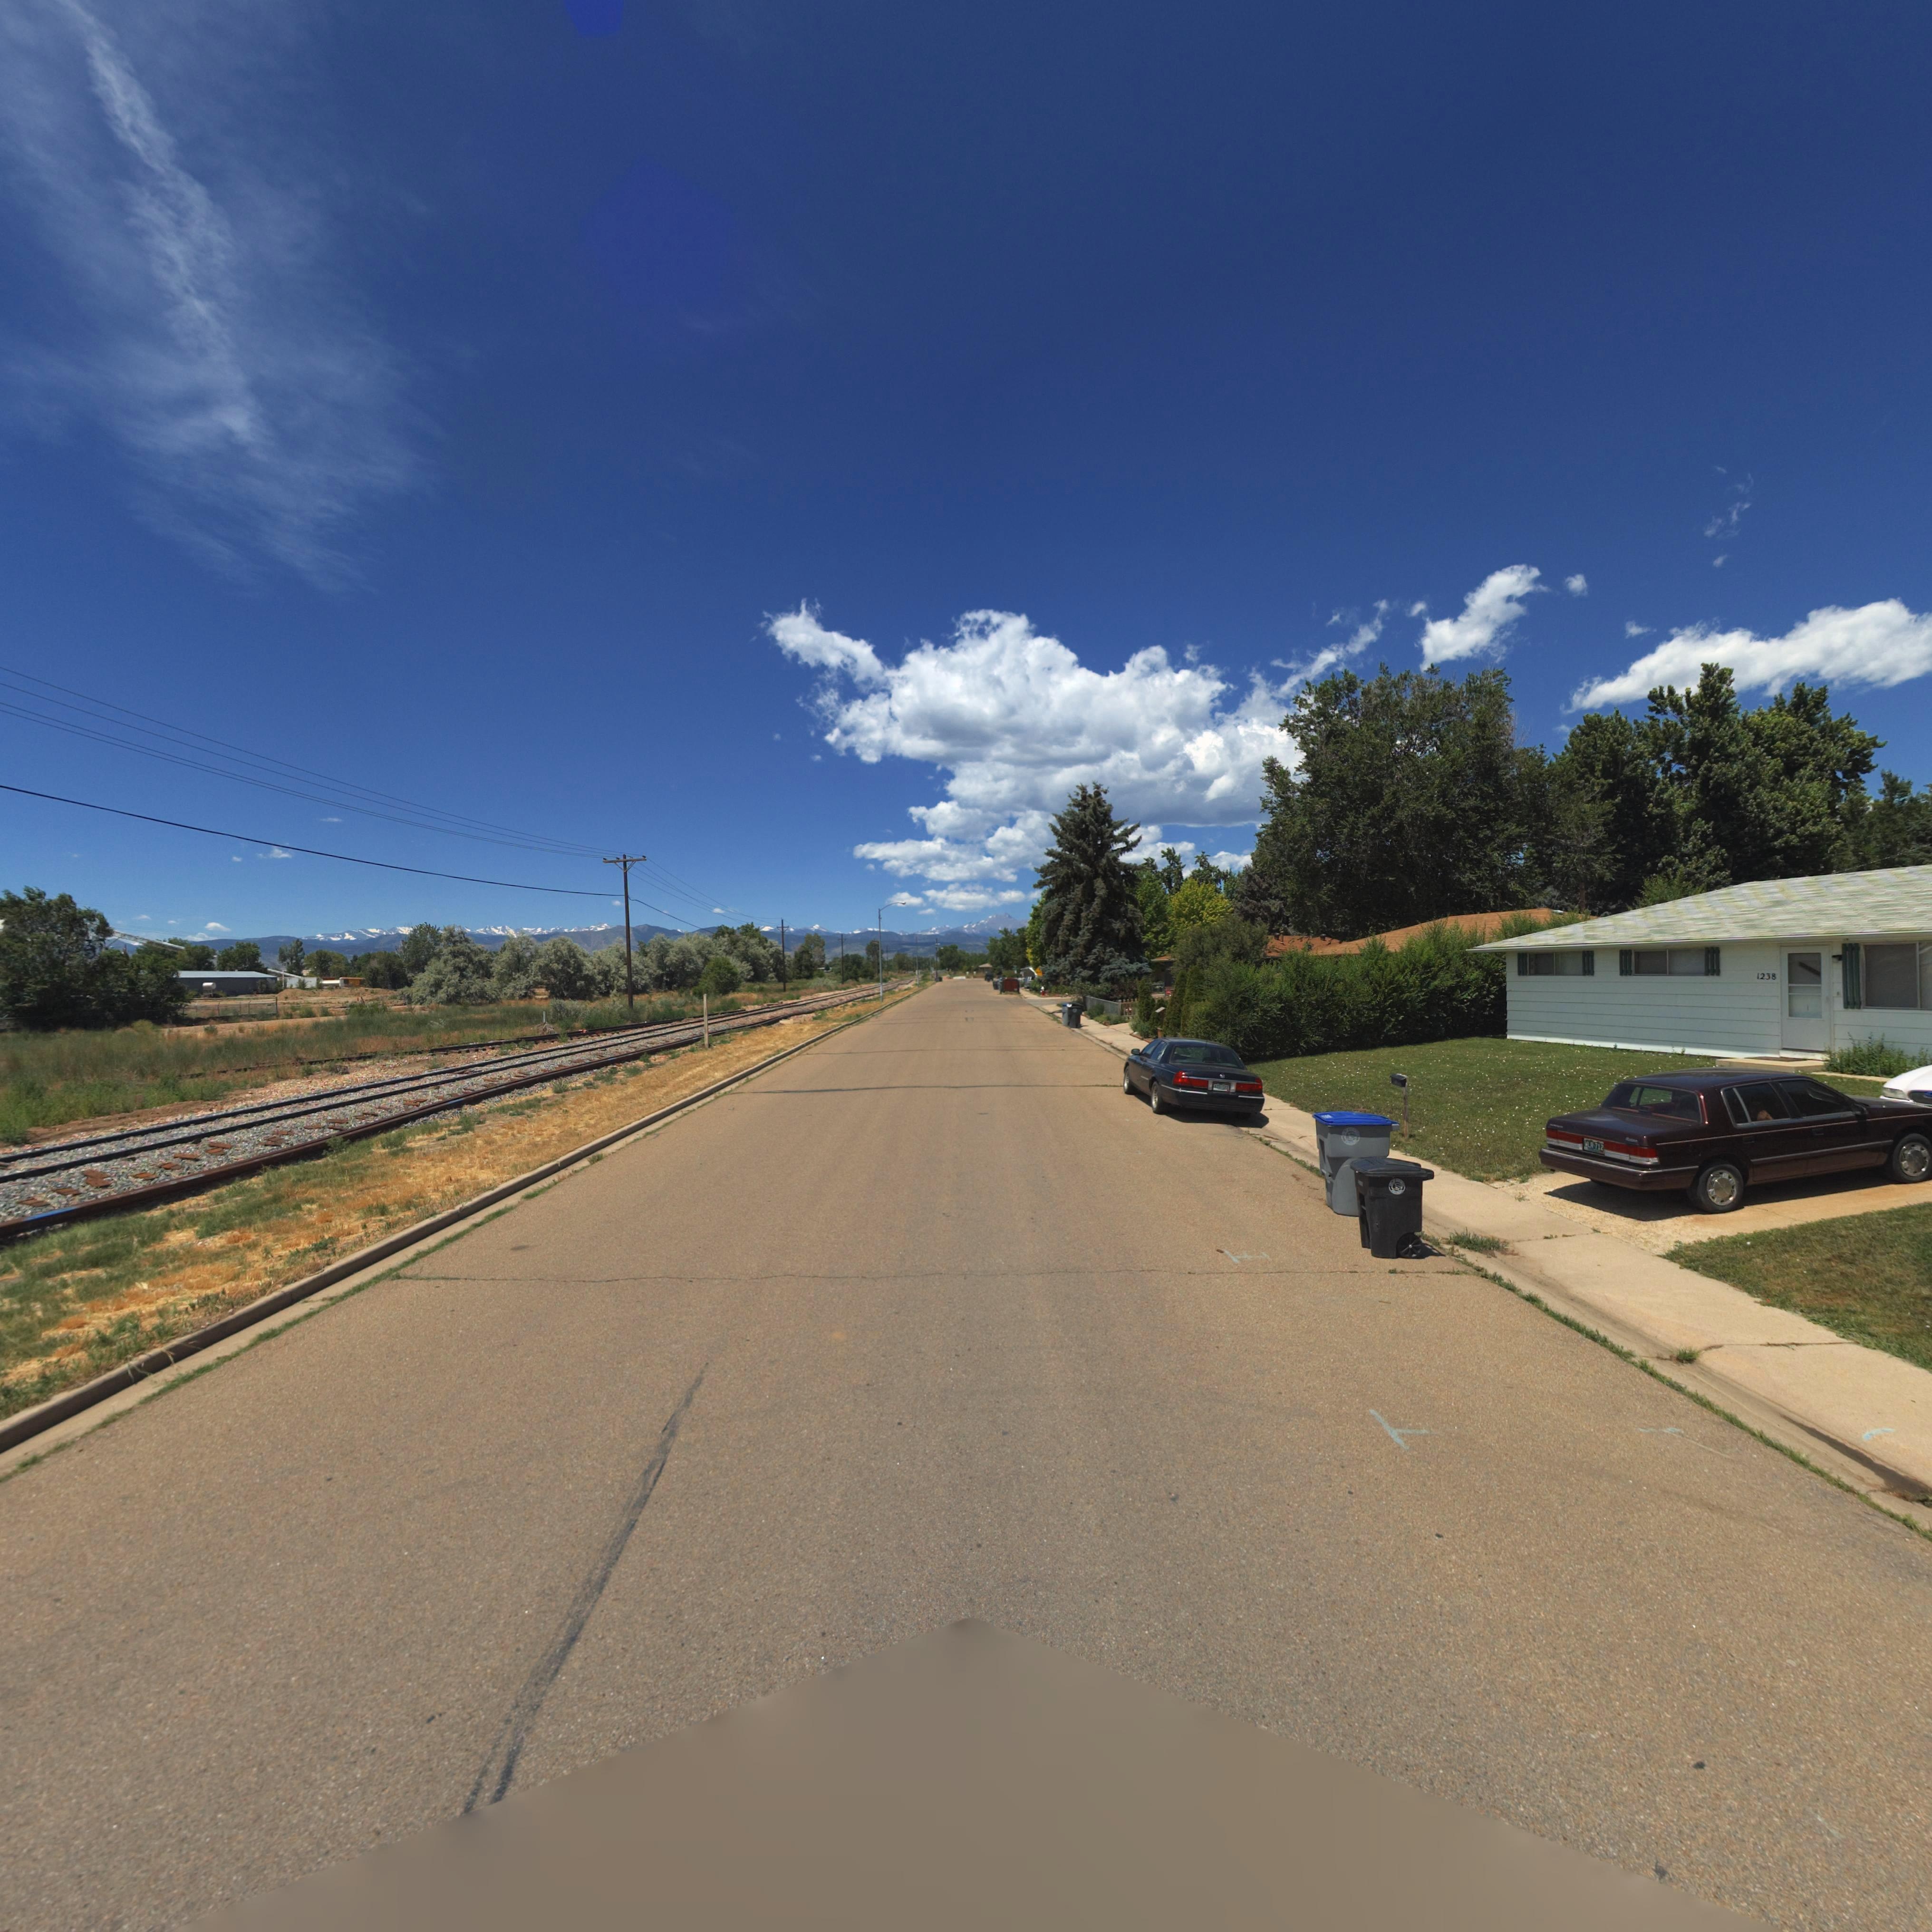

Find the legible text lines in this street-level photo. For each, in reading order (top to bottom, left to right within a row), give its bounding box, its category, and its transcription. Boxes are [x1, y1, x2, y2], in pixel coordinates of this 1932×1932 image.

[1756, 972, 1777, 980] StreetNumber: 1238